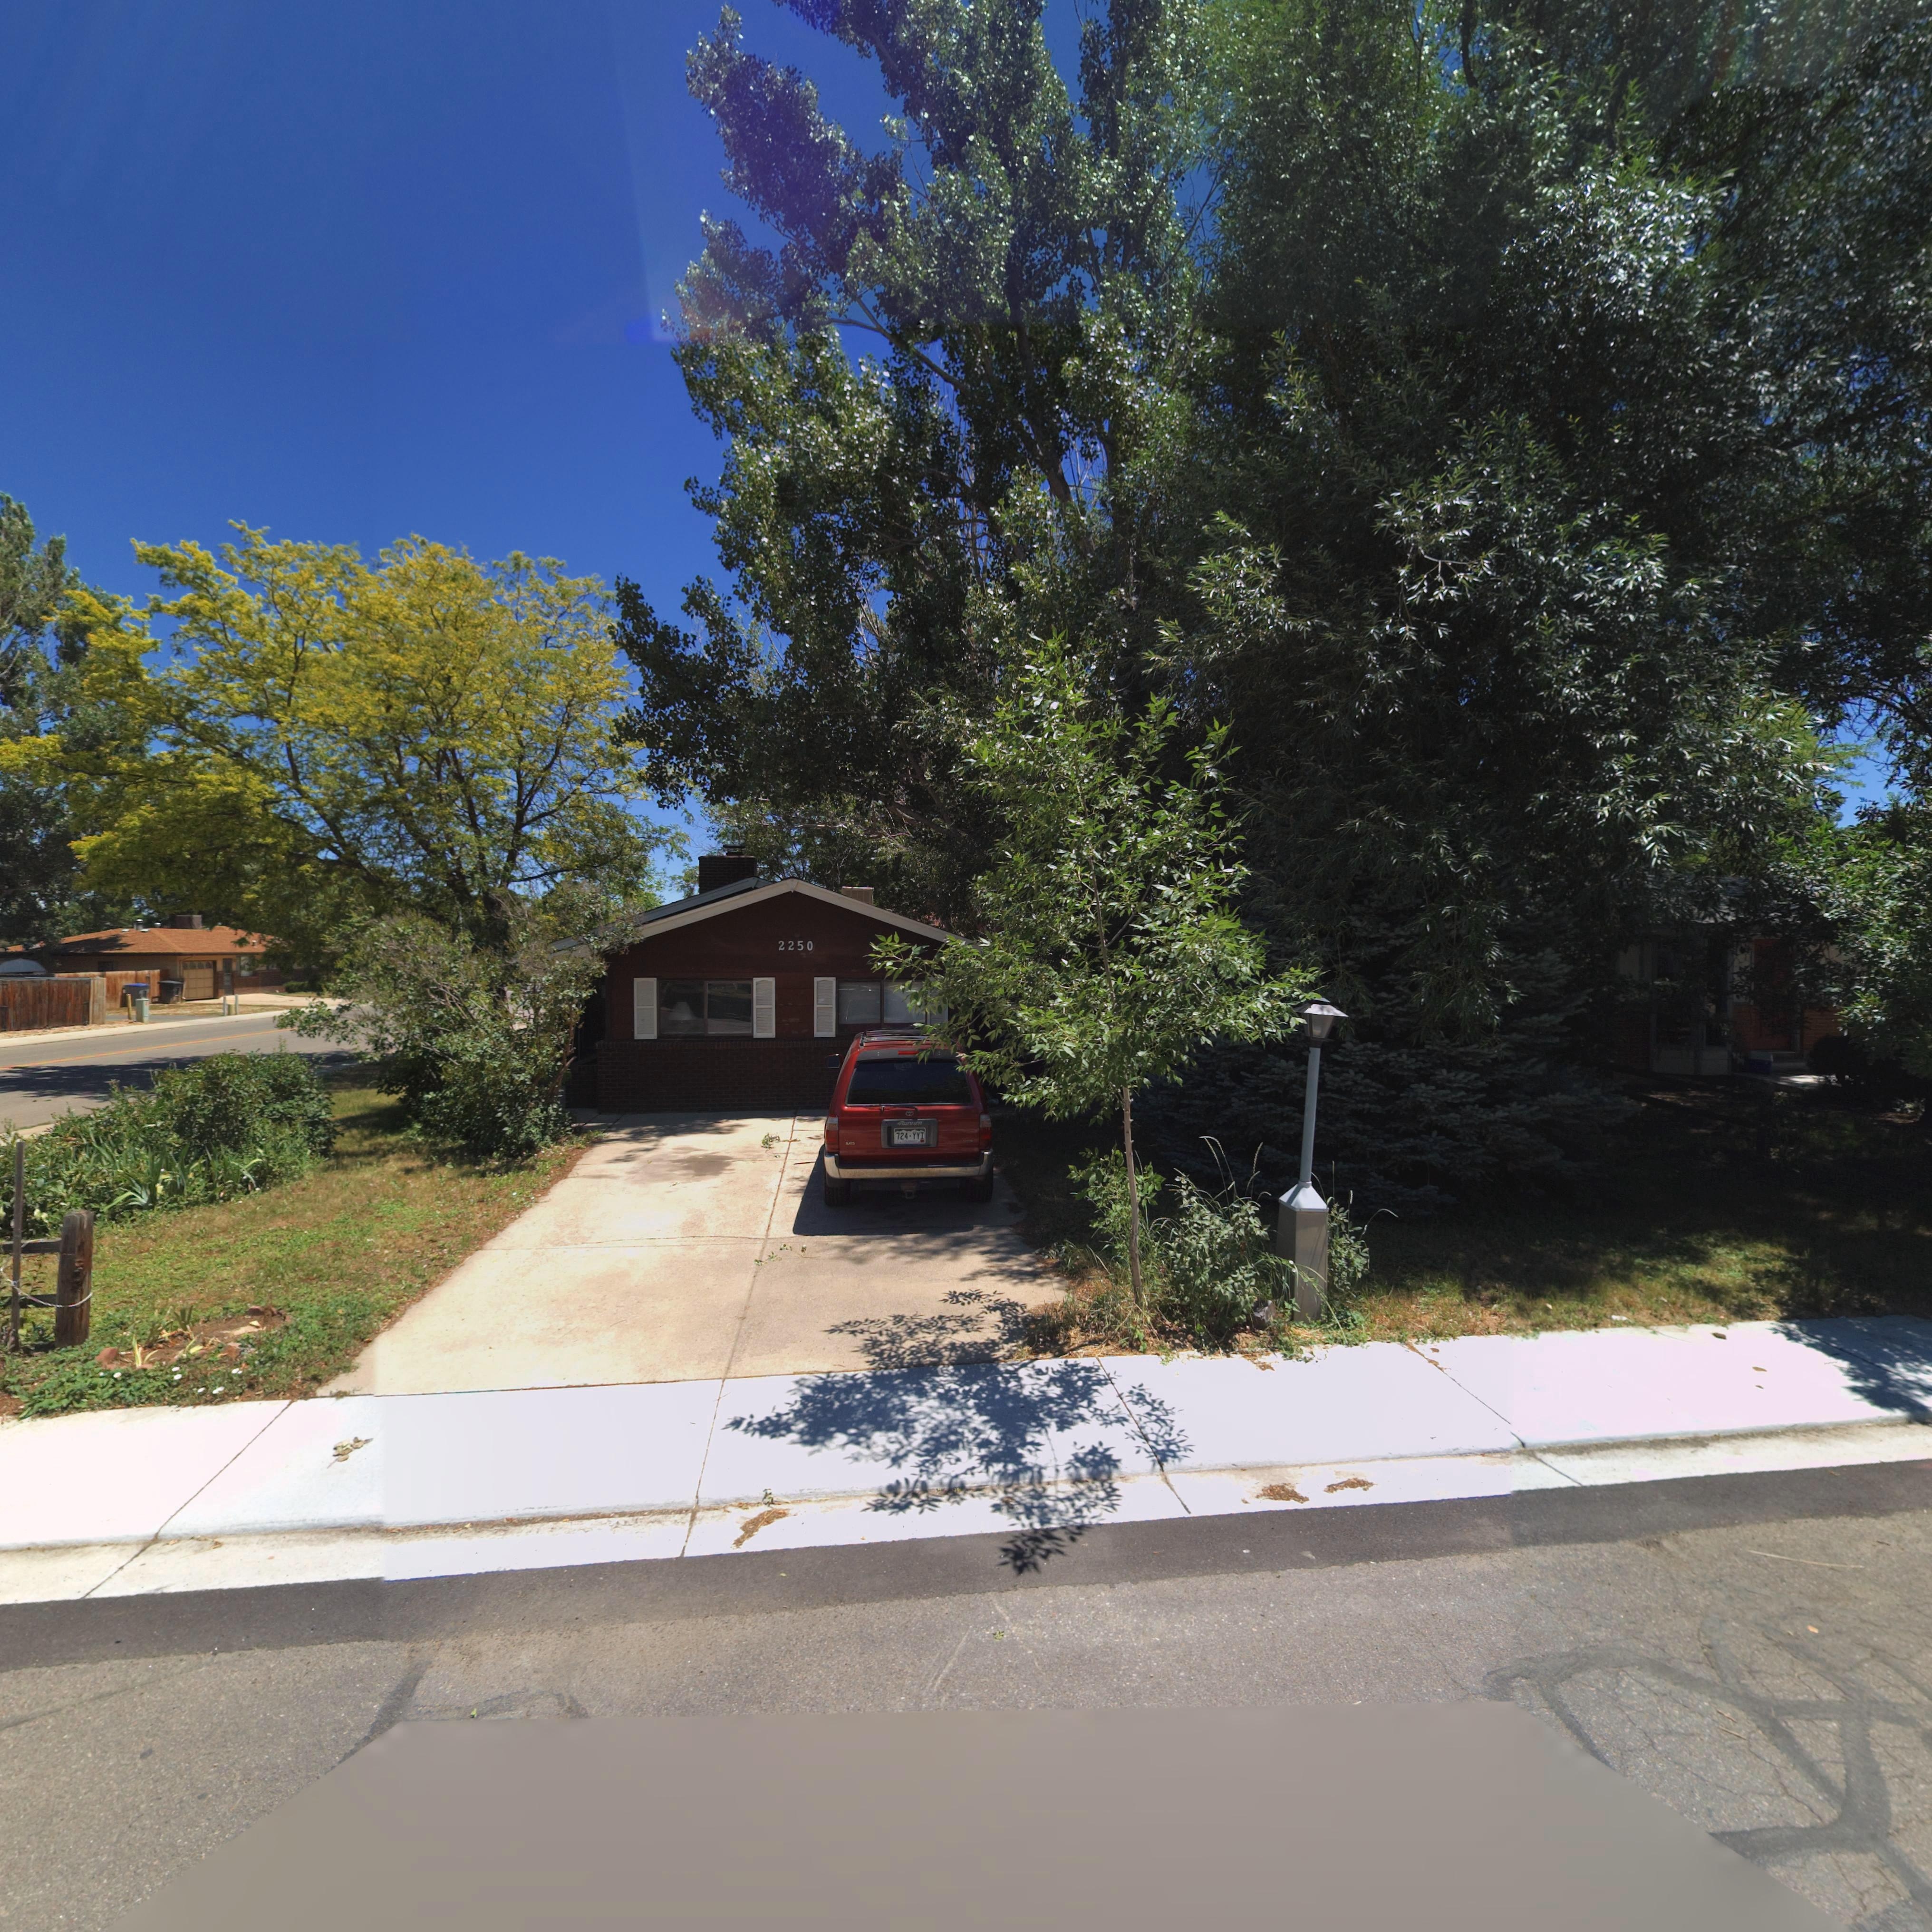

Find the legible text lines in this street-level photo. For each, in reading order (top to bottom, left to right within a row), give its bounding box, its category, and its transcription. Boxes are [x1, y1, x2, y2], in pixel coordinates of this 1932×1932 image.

[777, 939, 814, 951] StreetNumber: 2250